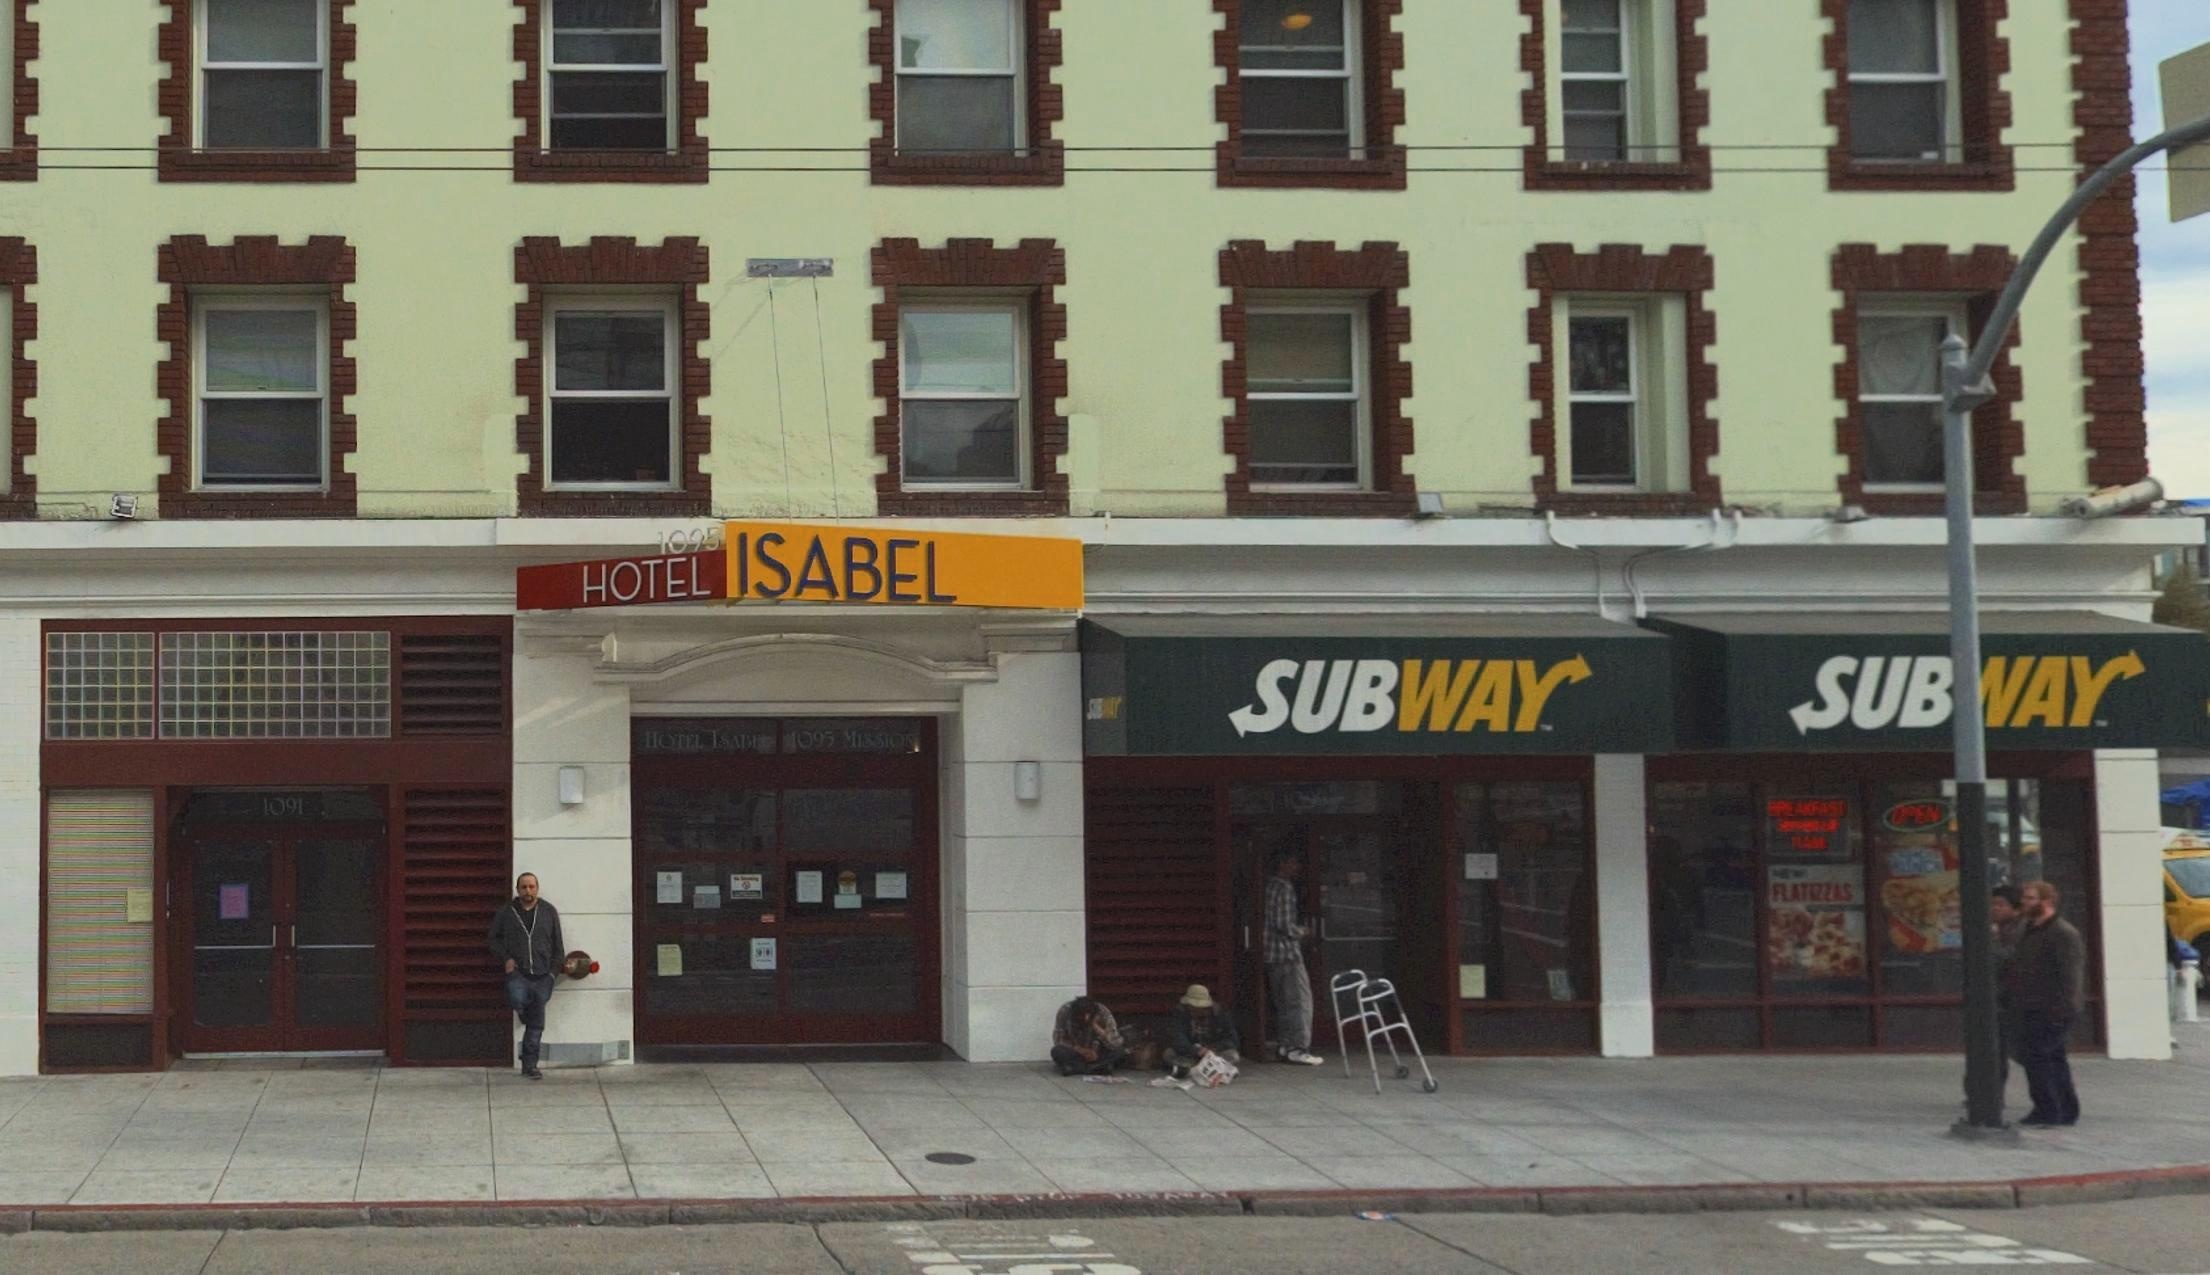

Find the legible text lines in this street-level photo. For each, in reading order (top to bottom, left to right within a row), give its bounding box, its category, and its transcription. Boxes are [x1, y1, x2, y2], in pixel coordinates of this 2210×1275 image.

[655, 523, 723, 557] StreetNumber: 1095
[578, 528, 962, 607] BusinessName: Hotel Isabel
[1242, 653, 1580, 738] BusinessName: SUBWAY
[1804, 651, 2131, 732] BusinessName: SUB*AY
[642, 728, 773, 752] BusinessName: HOTEL ISAB**
[788, 727, 838, 753] StreetNumber: 1095
[840, 727, 918, 752] StreetName: MISSIO*
[259, 792, 306, 820] StreetNumber: 1091
[1887, 801, 1943, 829] None: OPEN
[1768, 877, 1857, 907] None: FLAT*ZZAS
[893, 1246, 1128, 1266] None: T
[1789, 1225, 2107, 1269] None: BU